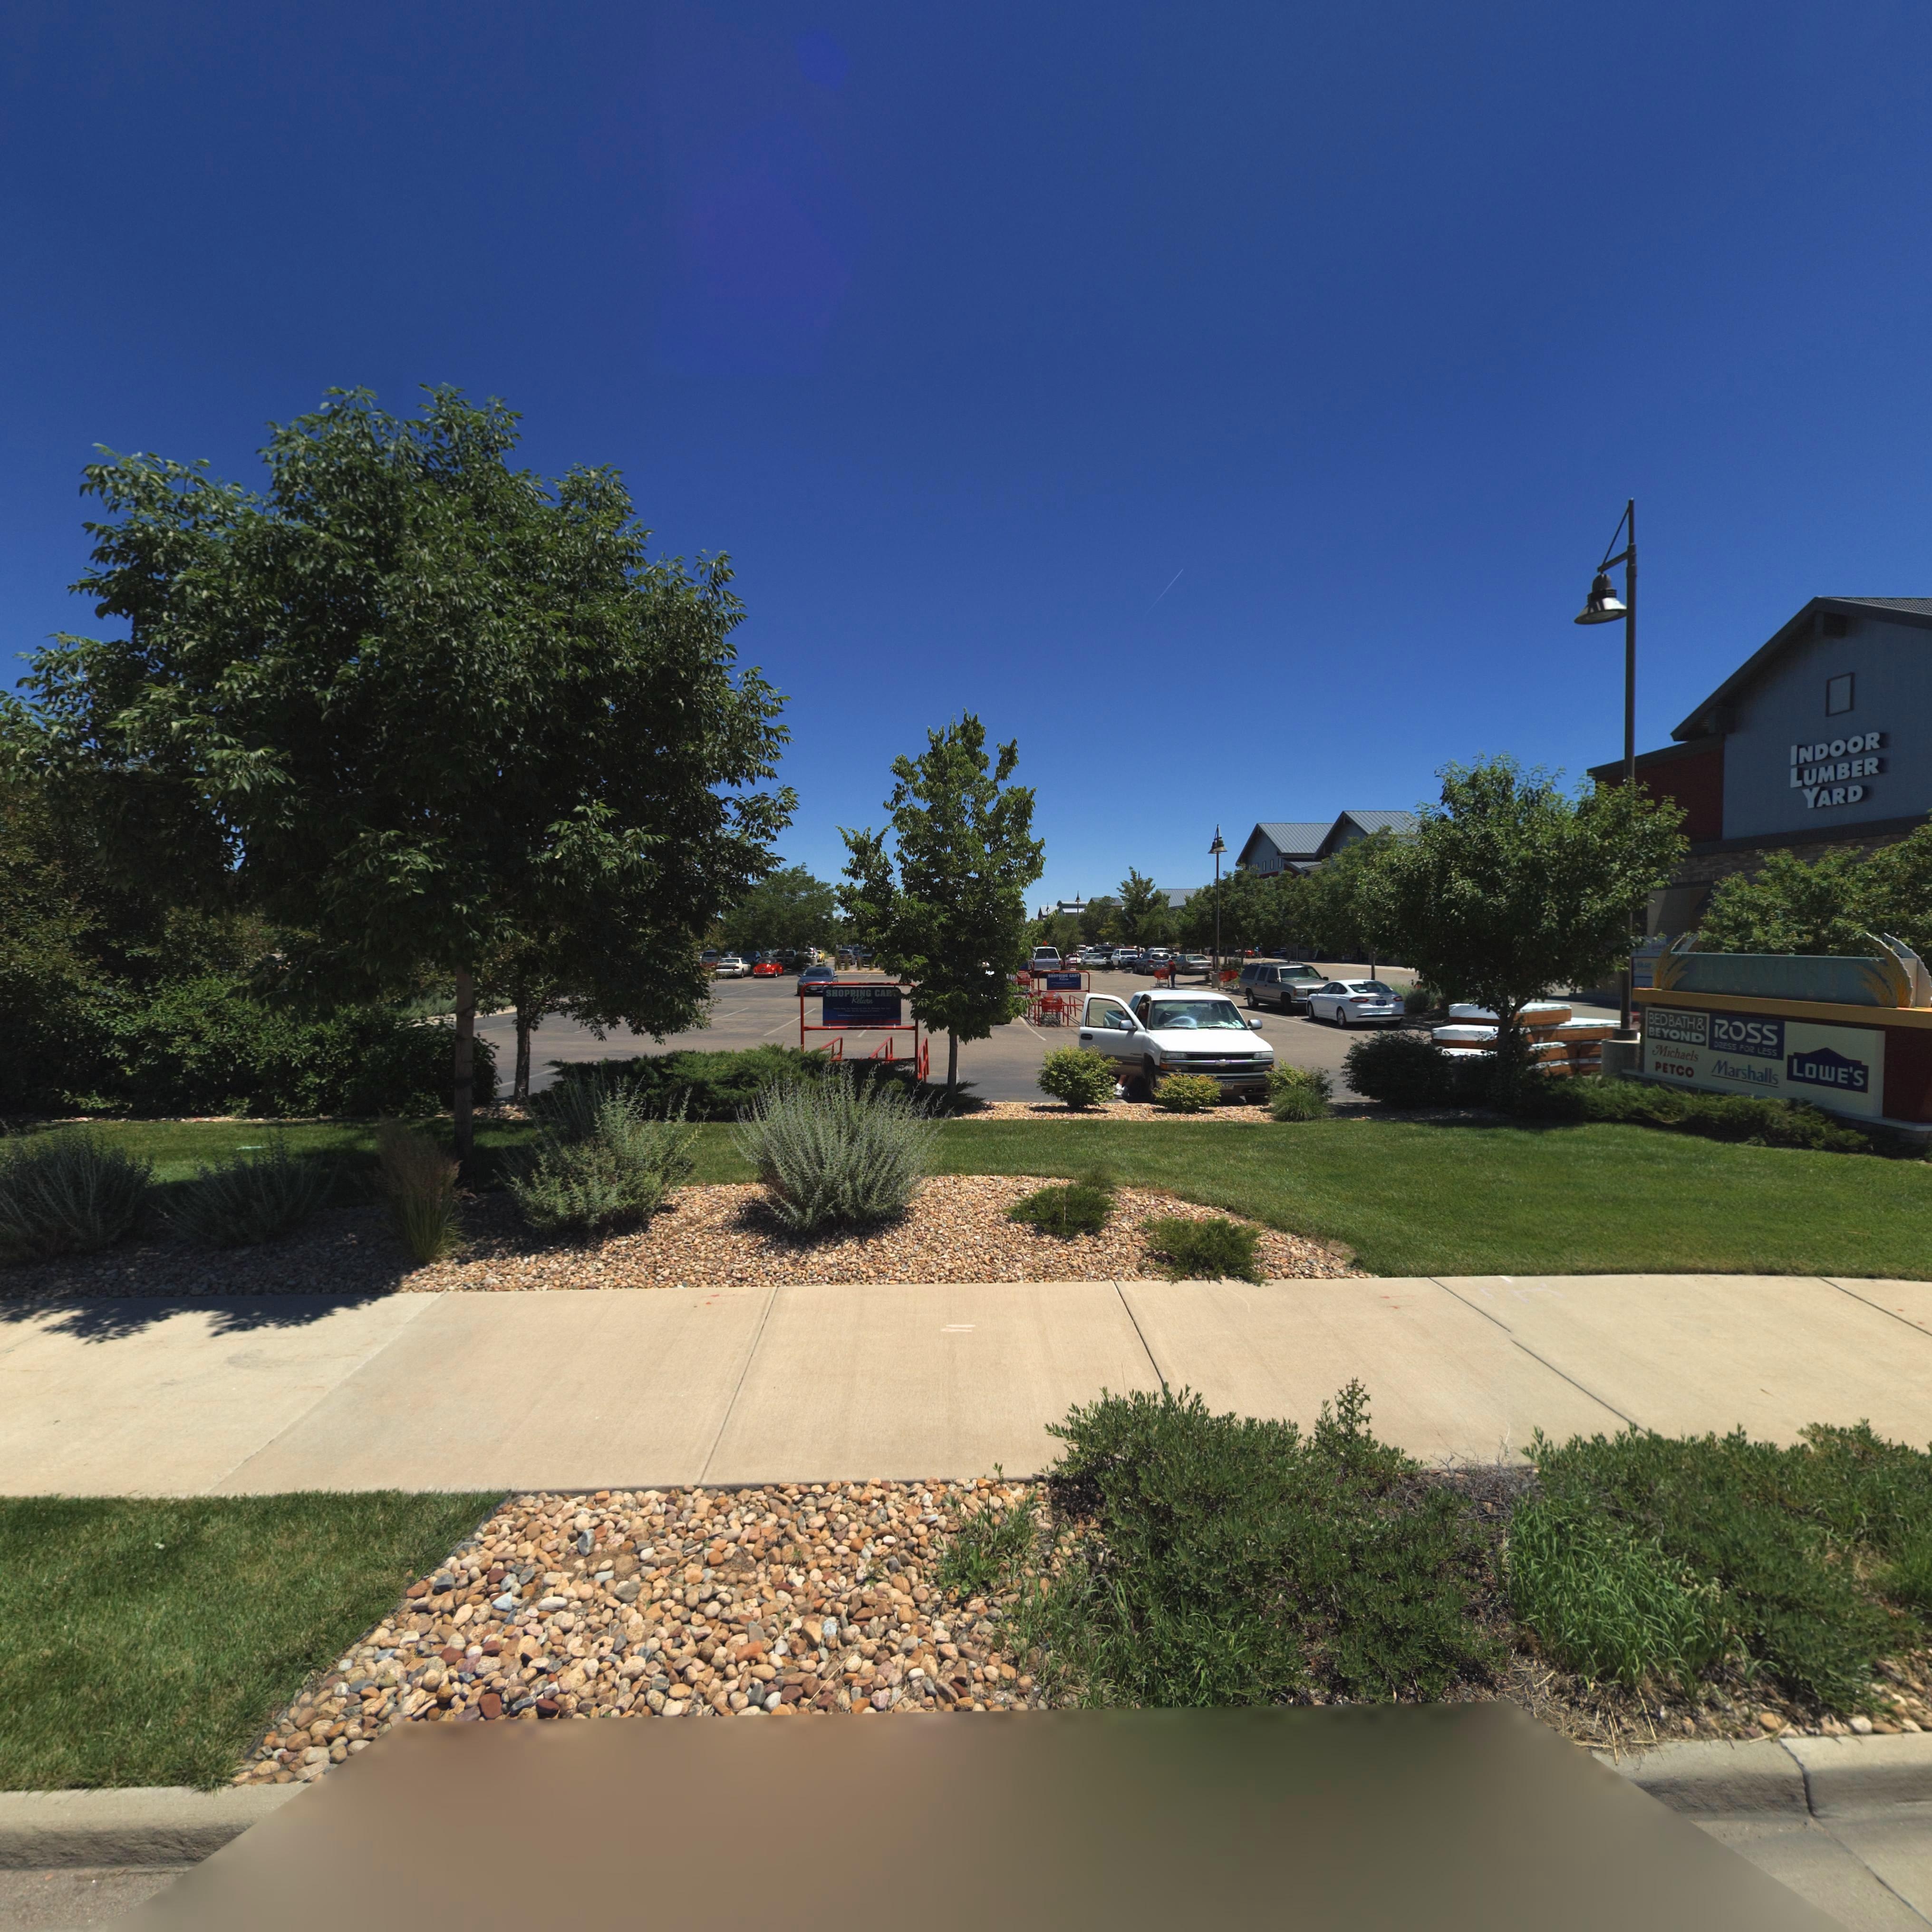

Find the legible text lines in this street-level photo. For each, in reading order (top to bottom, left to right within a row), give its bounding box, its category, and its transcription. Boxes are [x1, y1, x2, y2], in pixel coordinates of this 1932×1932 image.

[1698, 956, 1846, 986] BusinessName: HARVEST
[1700, 982, 1838, 999] BusinessName: JUNCTION
[1648, 1012, 1706, 1031] BusinessName: BEDBATH&
[1648, 1026, 1706, 1044] BusinessName: BEYOND
[1713, 1018, 1779, 1047] BusinessName: ROSS
[1652, 1044, 1699, 1063] BusinessName: Michaels
[1713, 1040, 1777, 1057] BusinessName: DRESS FOR LESS
[1655, 1061, 1695, 1079] BusinessName: PETCO
[1710, 1059, 1779, 1085] BusinessName: Marshalls
[1792, 1058, 1865, 1088] BusinessName: LOWE'S